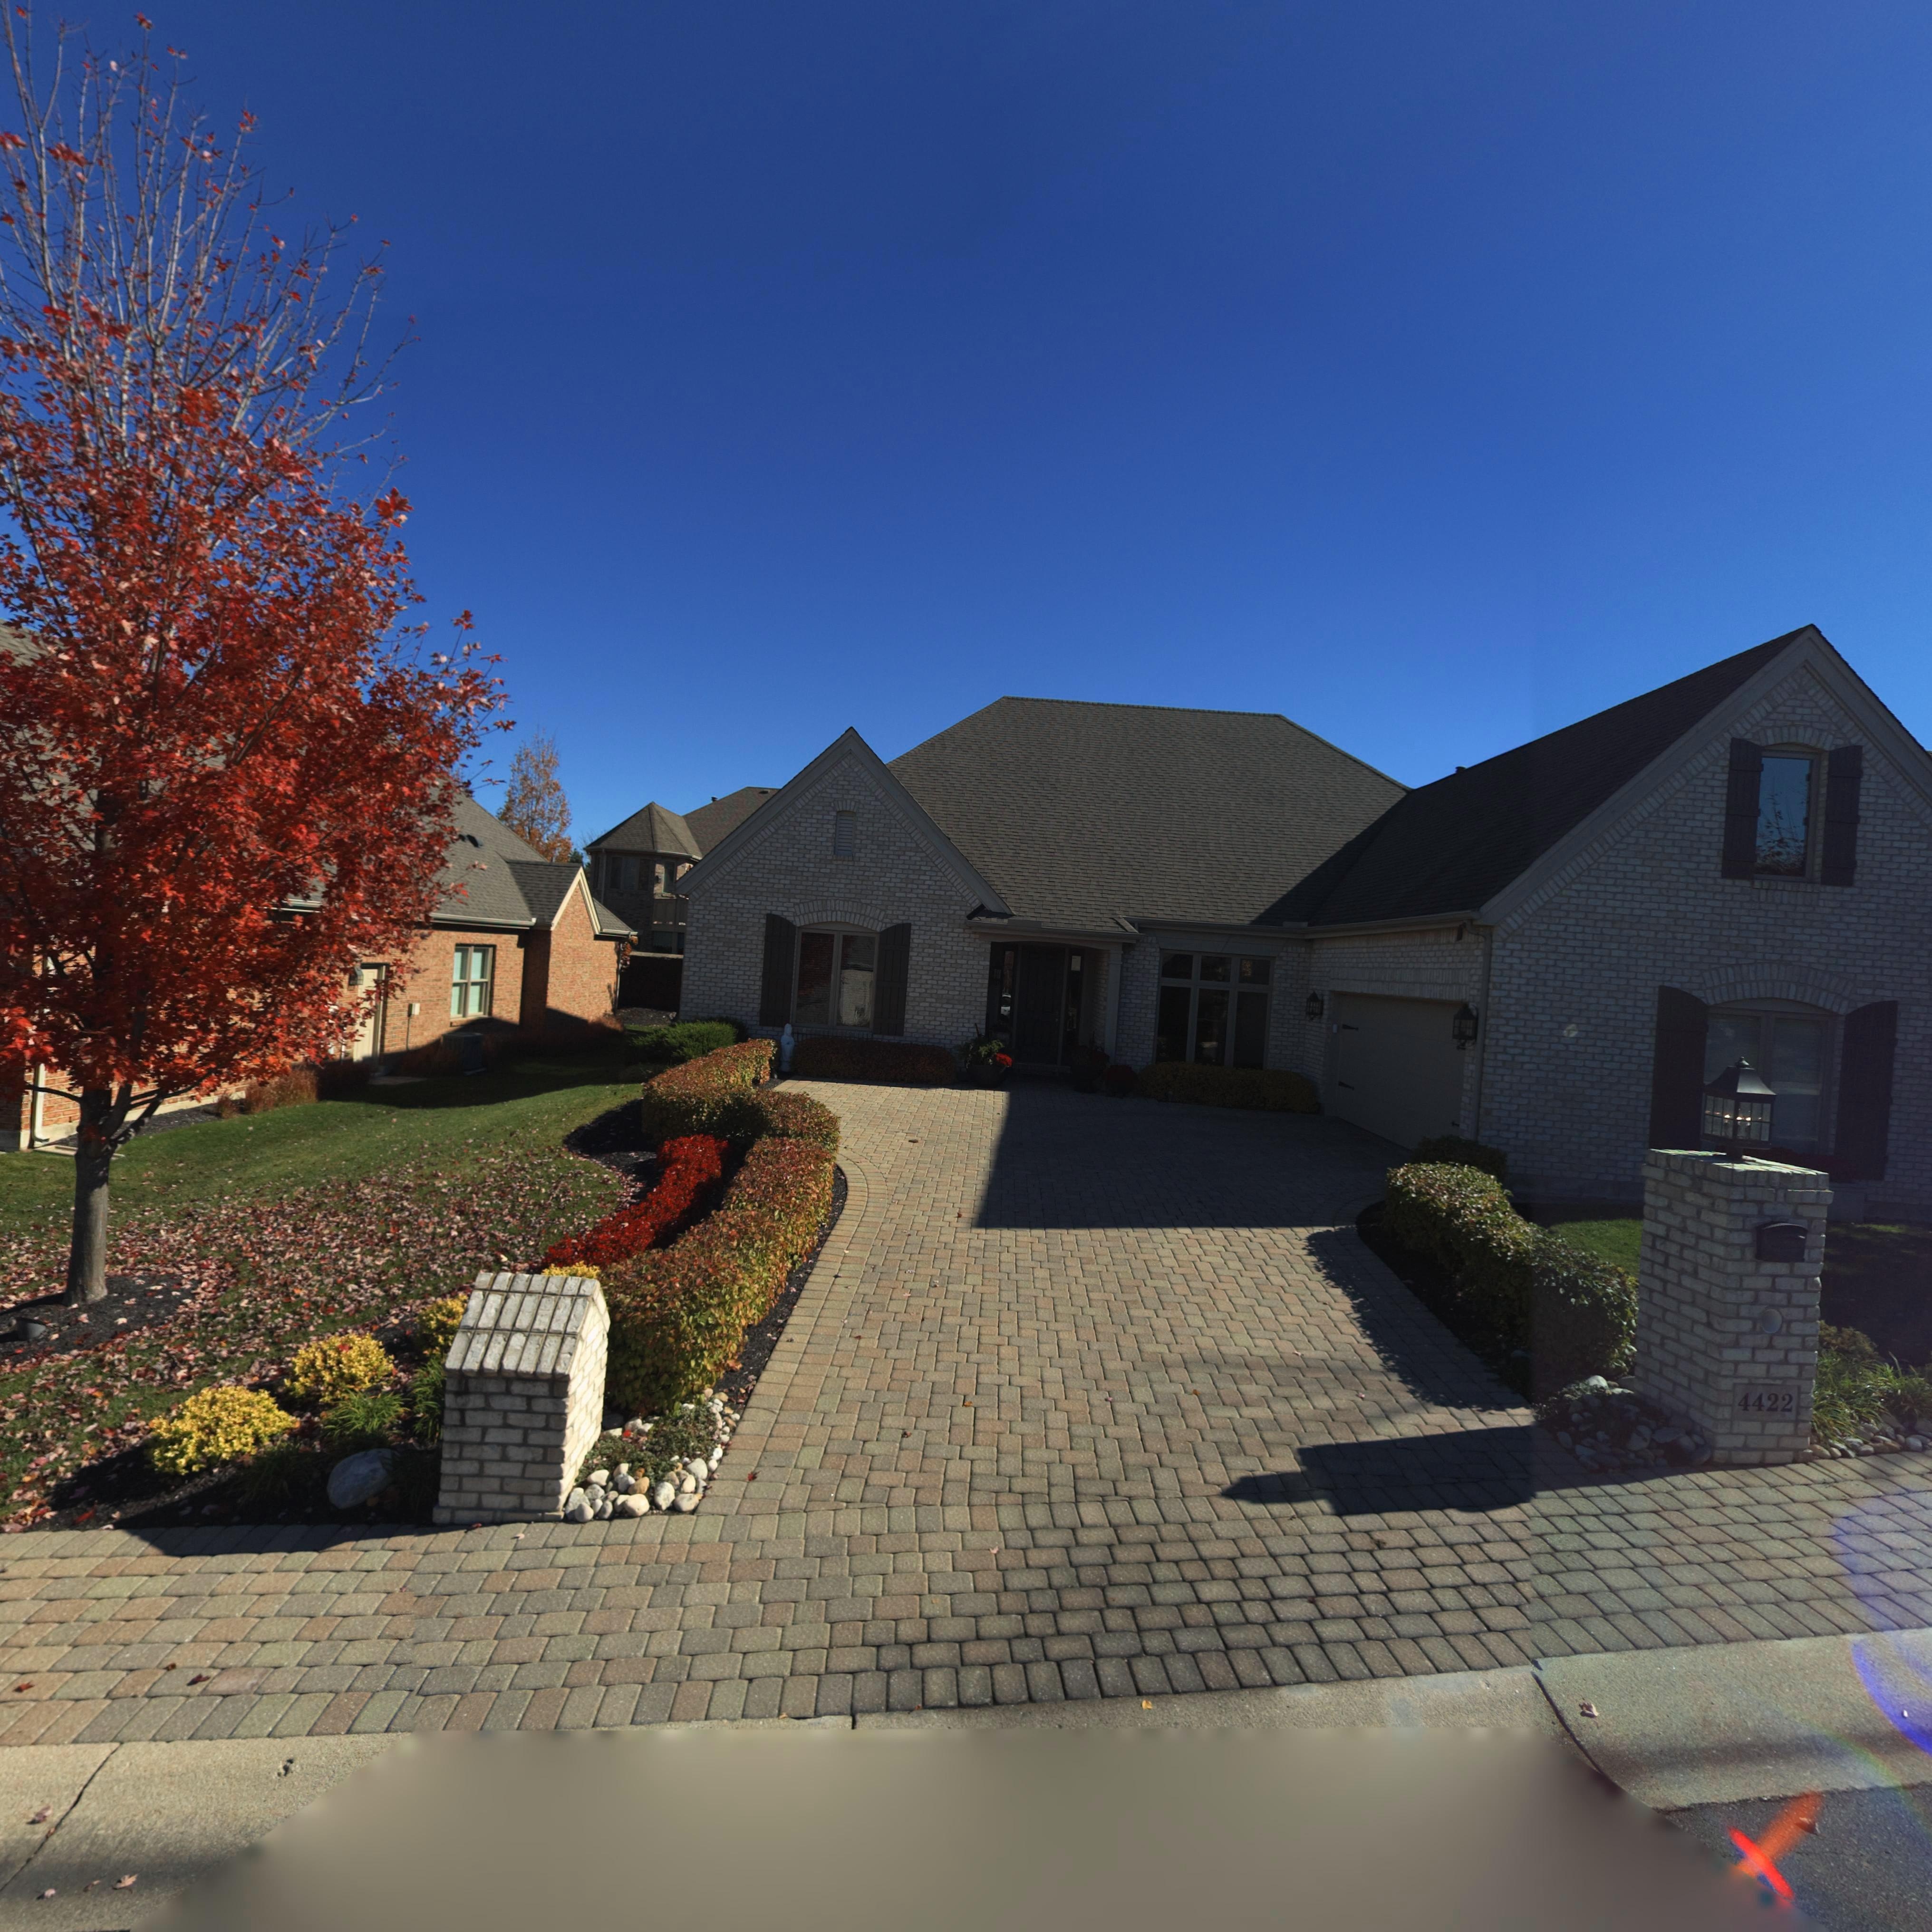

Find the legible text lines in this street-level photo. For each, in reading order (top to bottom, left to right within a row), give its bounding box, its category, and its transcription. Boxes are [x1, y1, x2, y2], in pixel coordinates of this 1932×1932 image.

[1736, 1390, 1796, 1415] StreetNumber: 4422